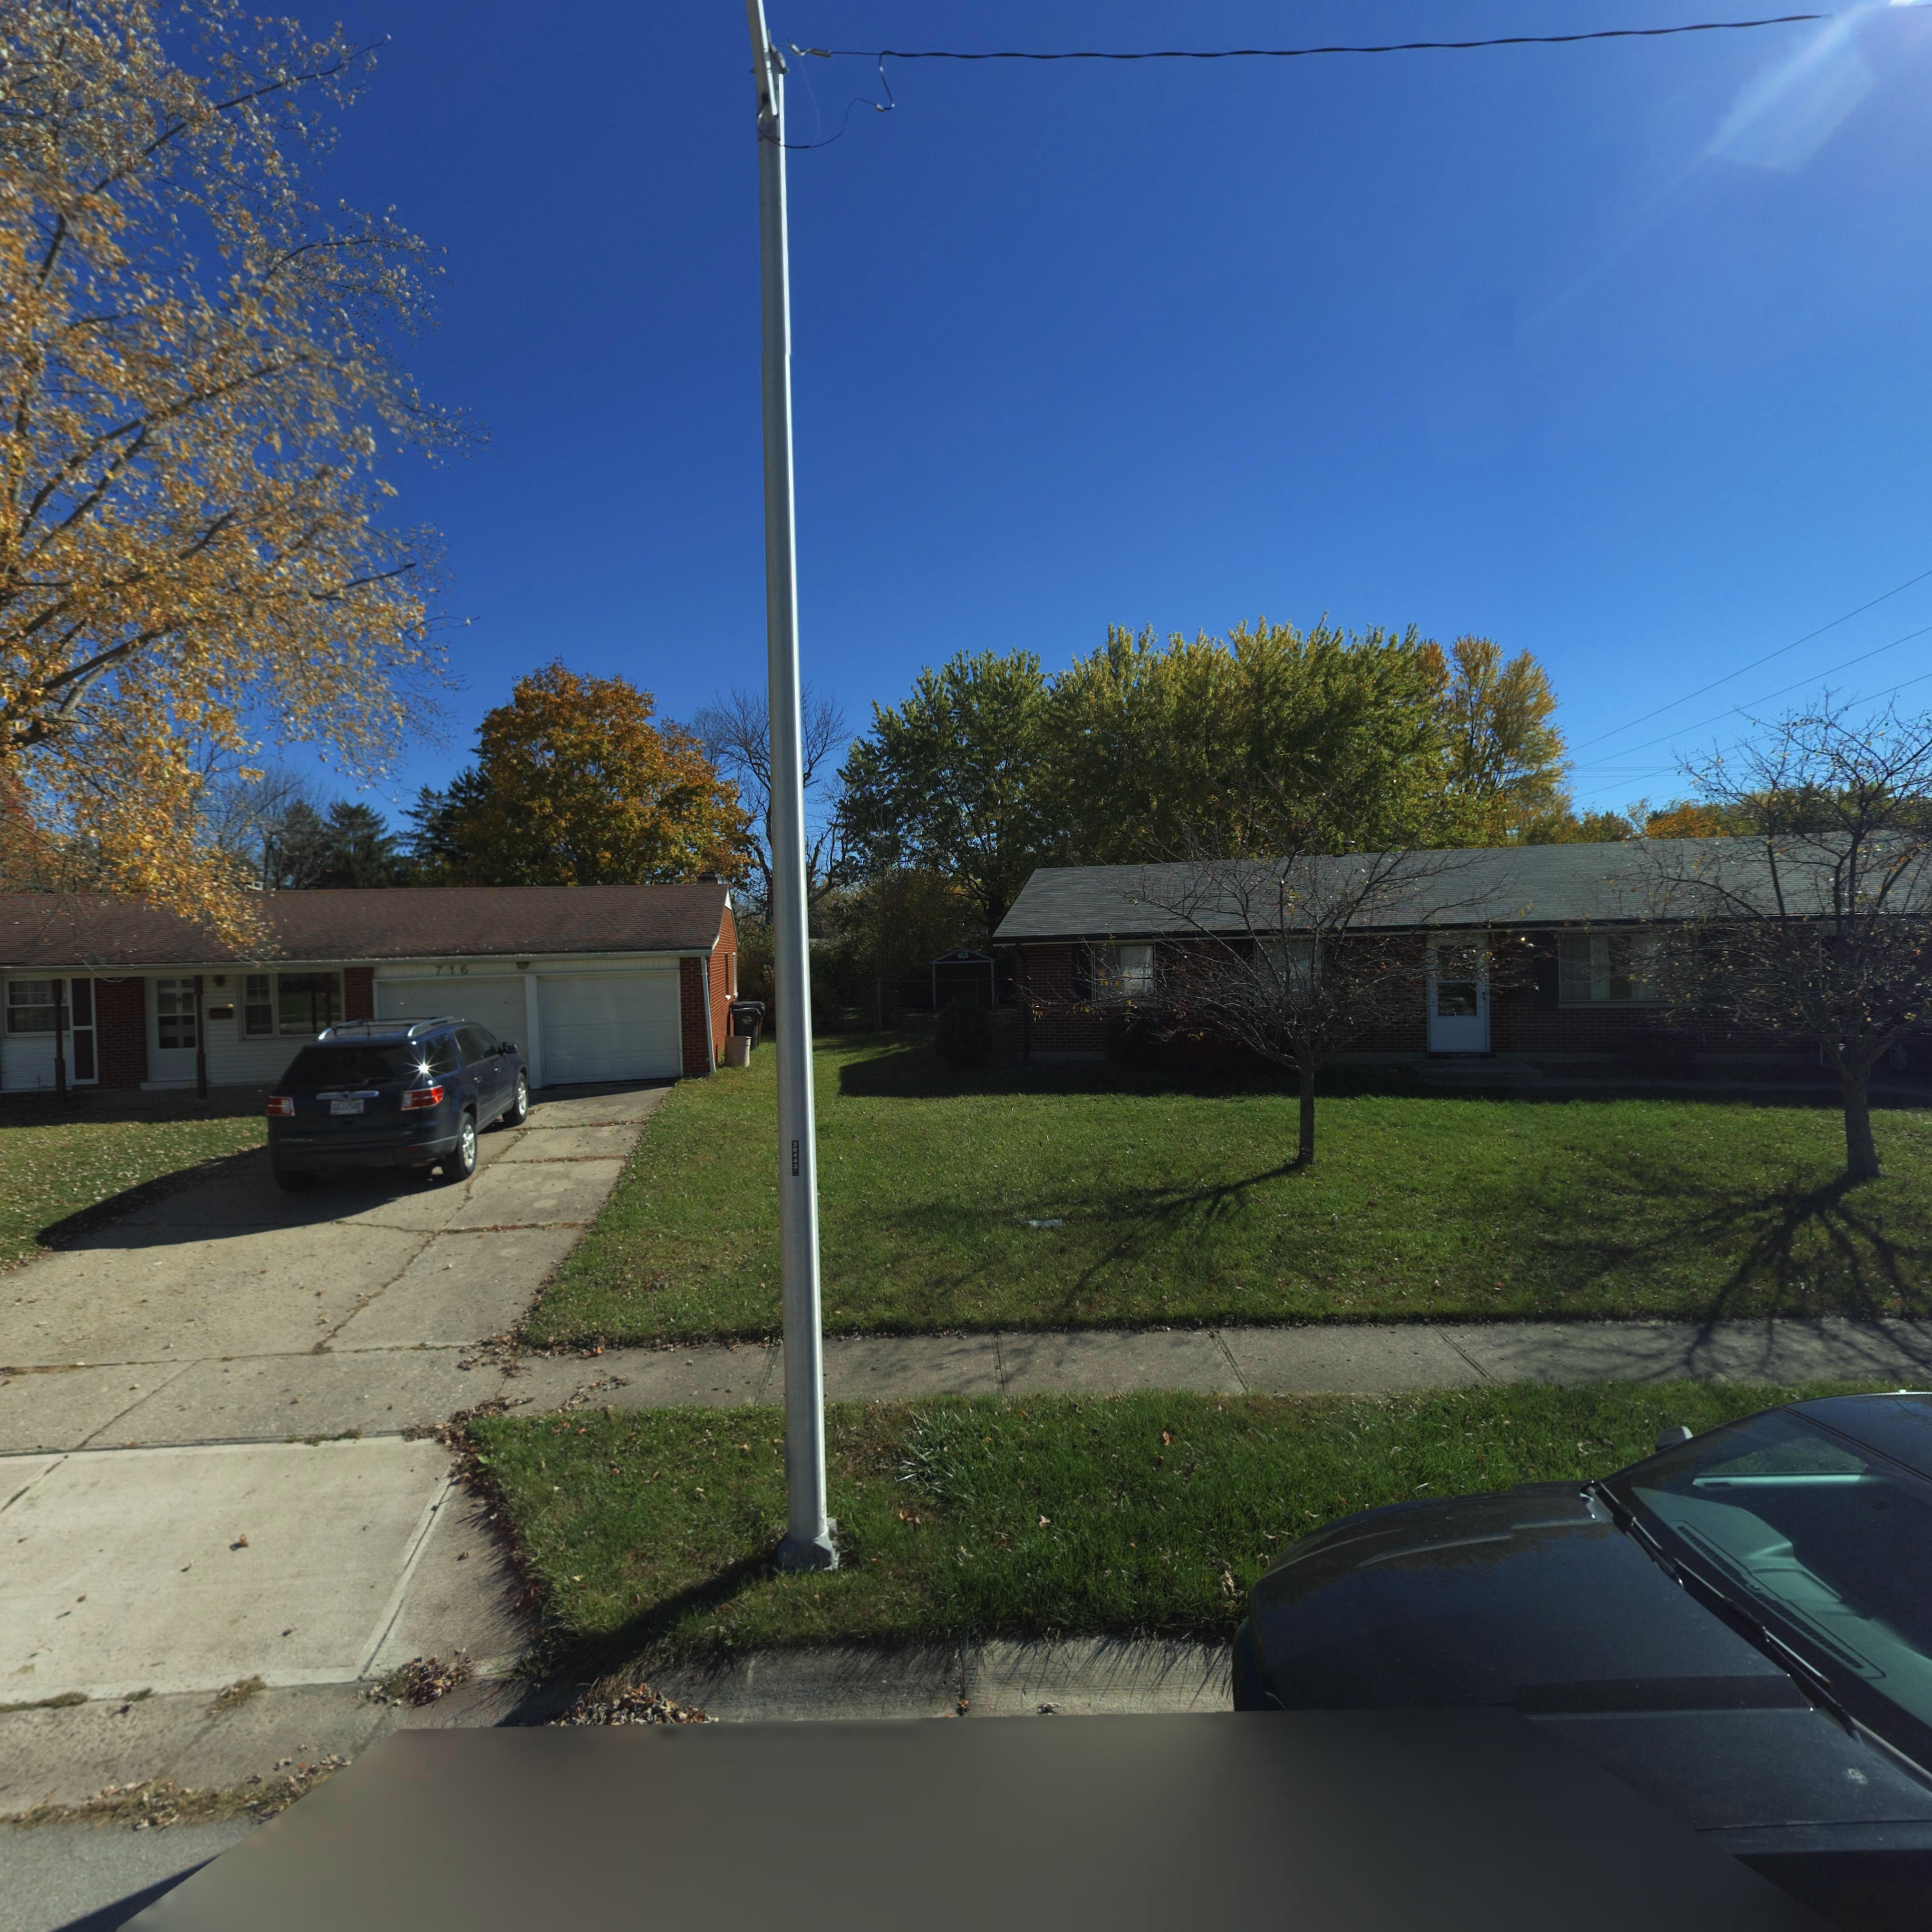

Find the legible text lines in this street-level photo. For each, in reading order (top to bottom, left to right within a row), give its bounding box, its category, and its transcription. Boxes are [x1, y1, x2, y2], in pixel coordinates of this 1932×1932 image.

[434, 963, 470, 977] StreetNumber: 716
[331, 1101, 363, 1111] None: G*J*258*